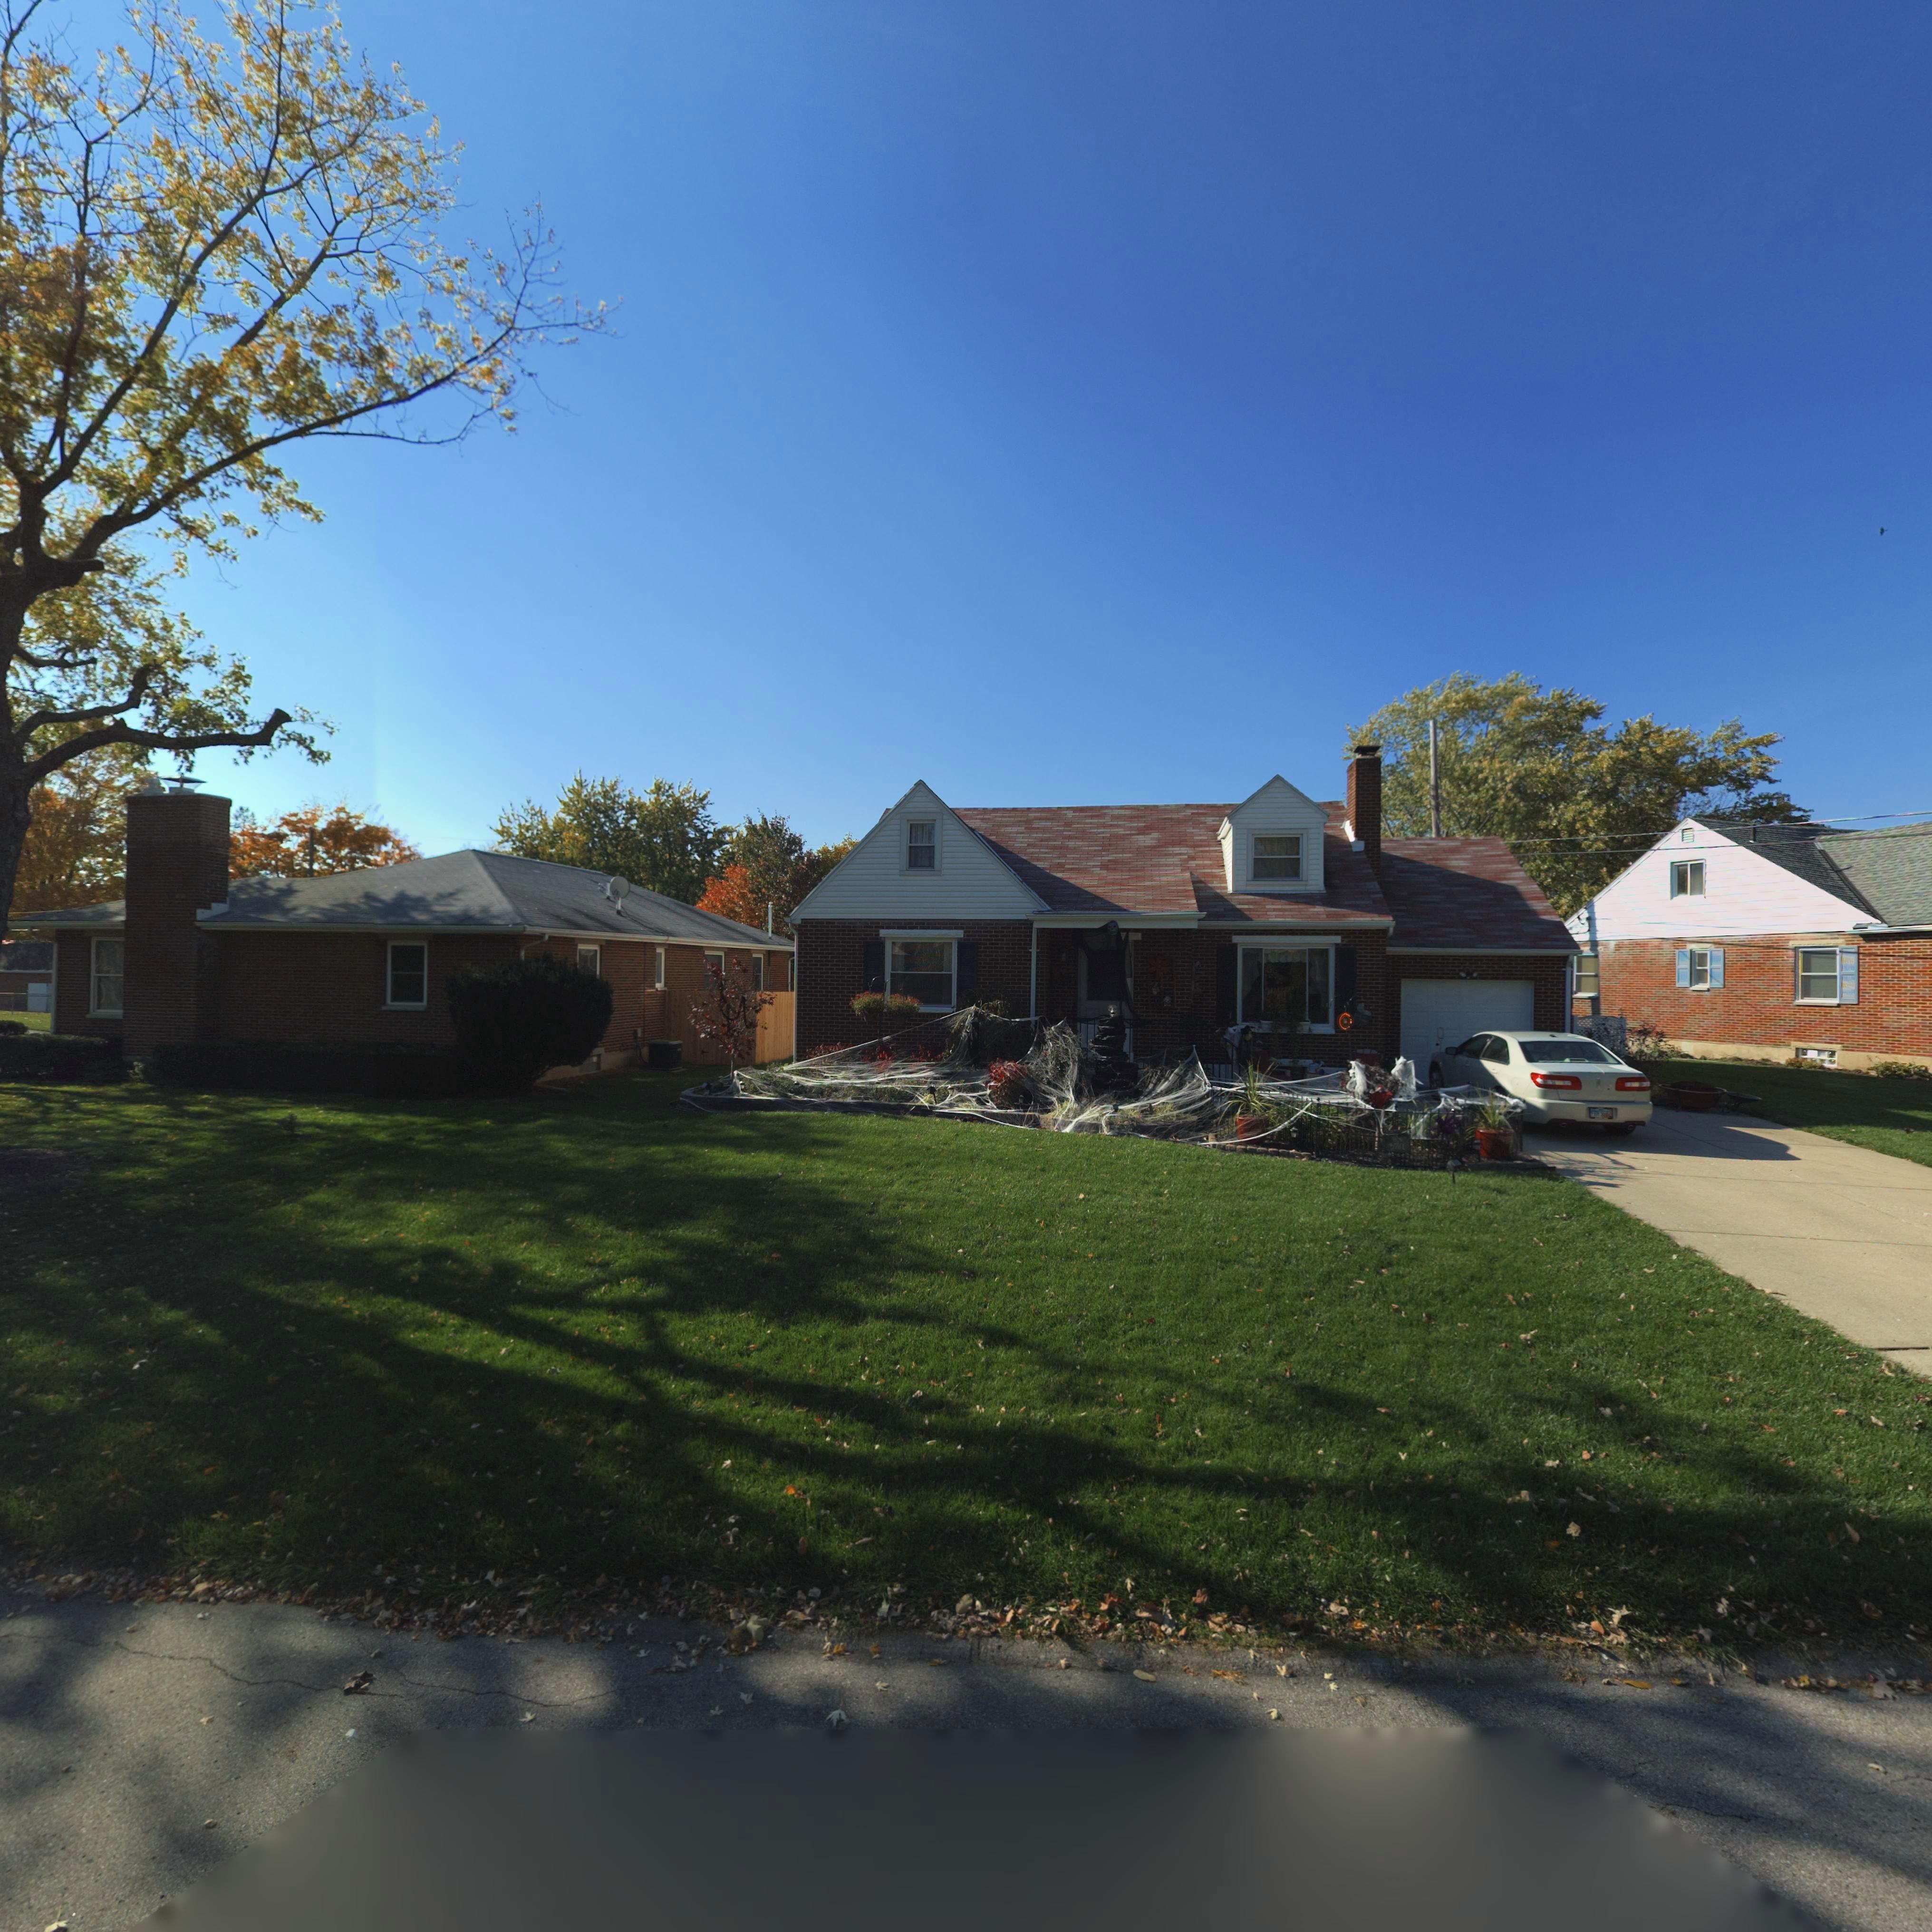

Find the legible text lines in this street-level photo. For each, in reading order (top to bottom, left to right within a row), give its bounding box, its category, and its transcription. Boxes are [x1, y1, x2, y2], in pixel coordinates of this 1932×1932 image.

[1590, 1110, 1611, 1116] None: FBR*9682
[1388, 1142, 1406, 1151] StreetNumber: 3761